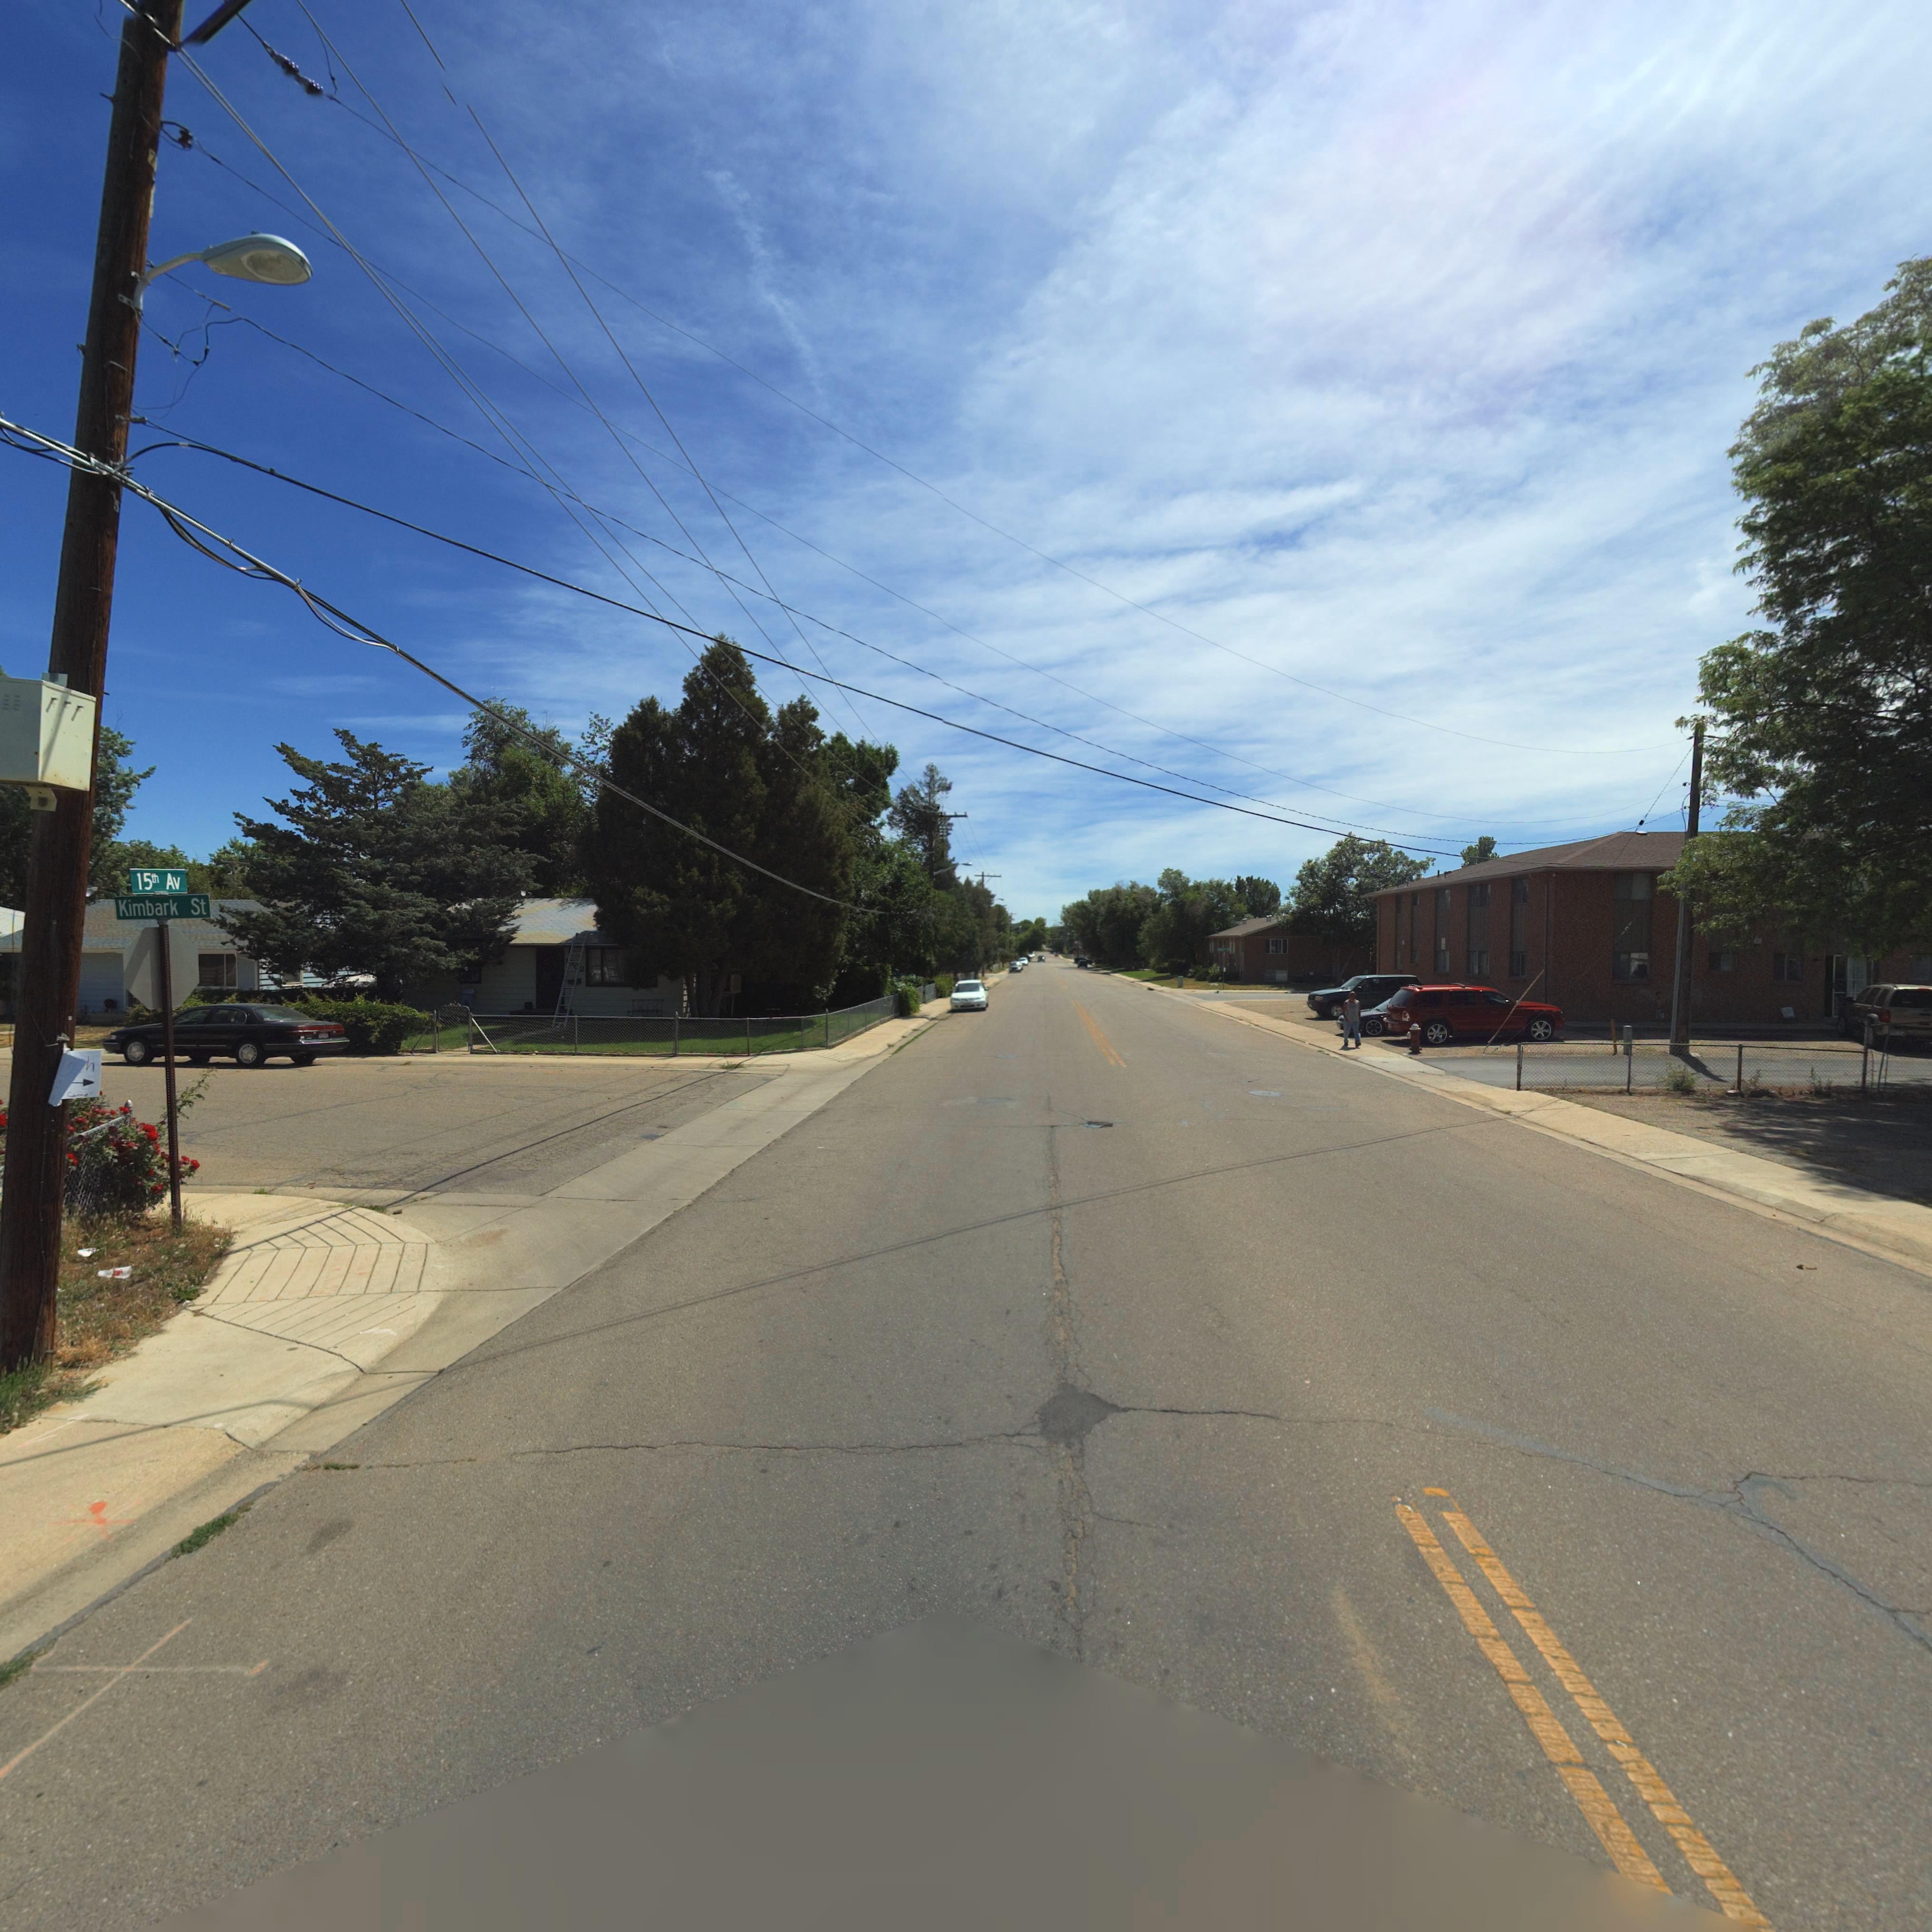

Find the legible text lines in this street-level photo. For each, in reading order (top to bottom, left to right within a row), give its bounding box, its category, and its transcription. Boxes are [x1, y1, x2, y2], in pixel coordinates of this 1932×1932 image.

[135, 871, 181, 891] StreetName: 15th Av
[116, 896, 207, 918] StreetName: Kimbark St
[565, 956, 586, 972] StreetNumber: ***2